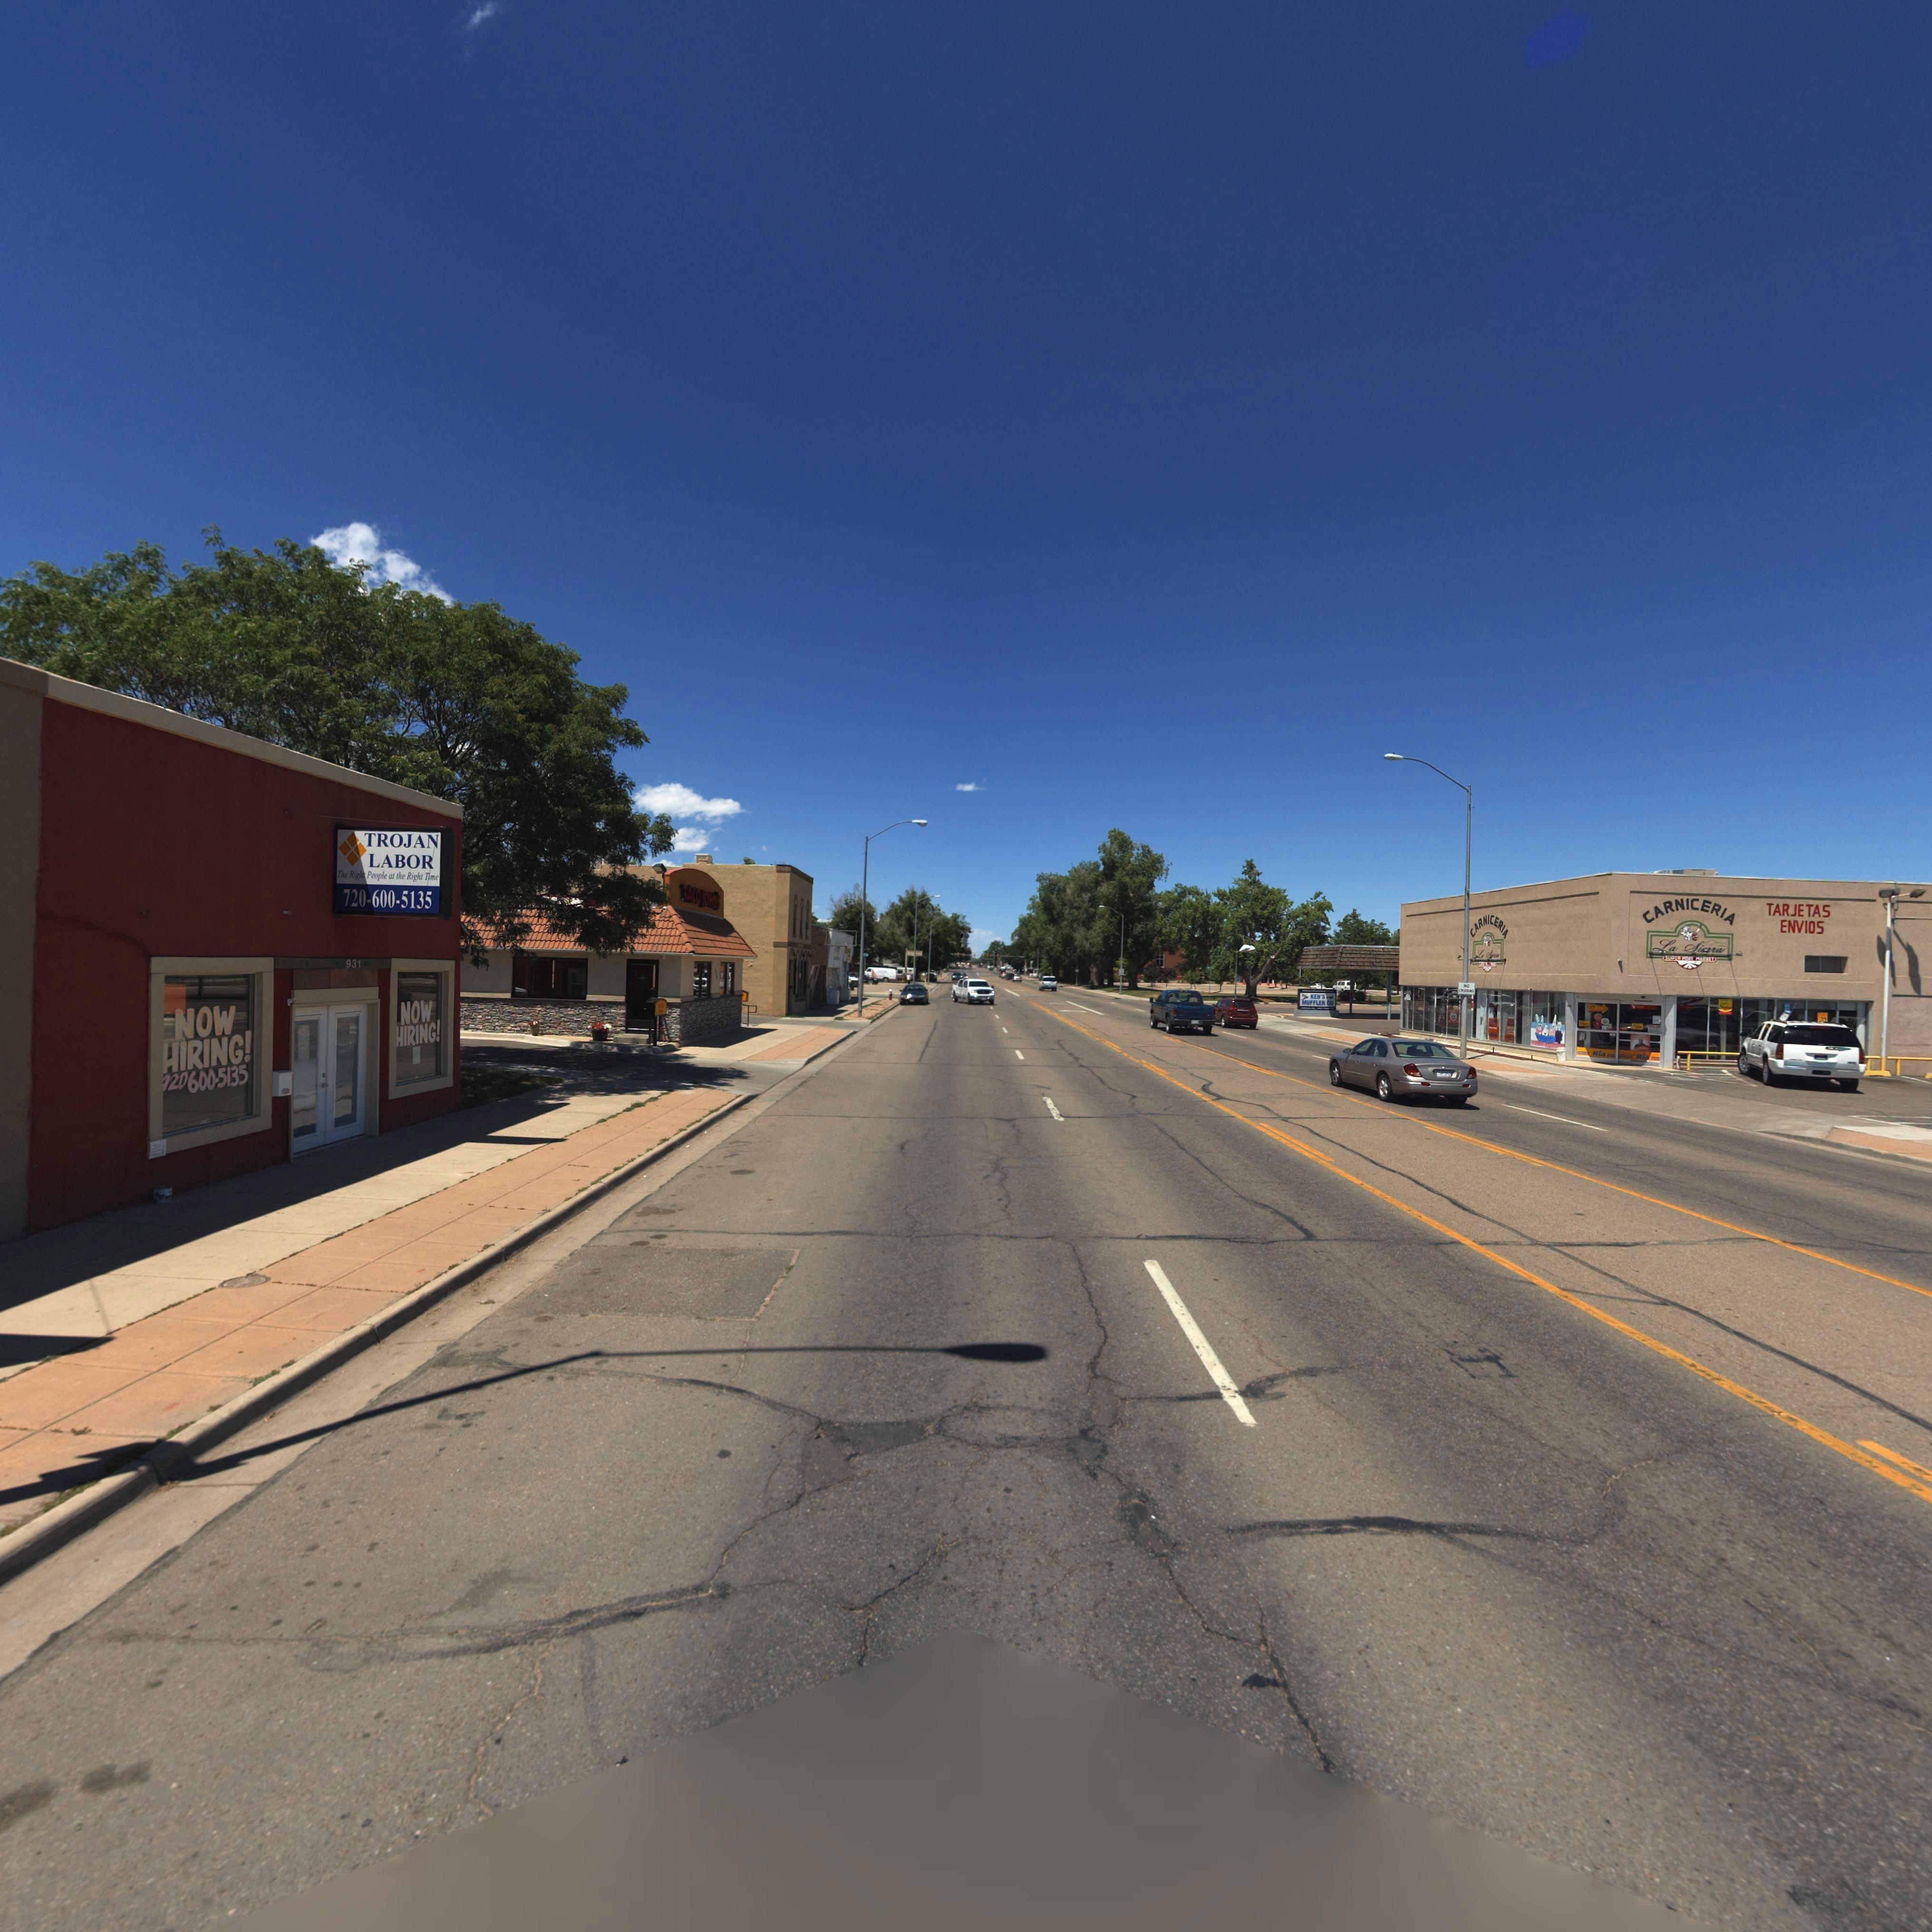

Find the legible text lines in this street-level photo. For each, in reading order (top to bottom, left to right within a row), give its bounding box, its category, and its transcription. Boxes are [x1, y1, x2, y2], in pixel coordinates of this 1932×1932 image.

[363, 832, 439, 849] BusinessName: TROJAN
[368, 853, 434, 869] BusinessName: LABOR
[683, 884, 721, 910] BusinessName: TACO JOHN'S
[1652, 938, 1726, 953] BusinessName: *a *i***a
[1474, 949, 1500, 959] BusinessName: *a ******
[1664, 955, 1715, 961] BusinessName: SUPE* M*AT MA*KET
[345, 958, 361, 968] StreetNumber: 931
[1477, 961, 1496, 966] BusinessName: ****R M*** ****E*
[1310, 994, 1325, 999] BusinessName: *EN'S
[1302, 1000, 1333, 1005] BusinessName: MUFFLER CO